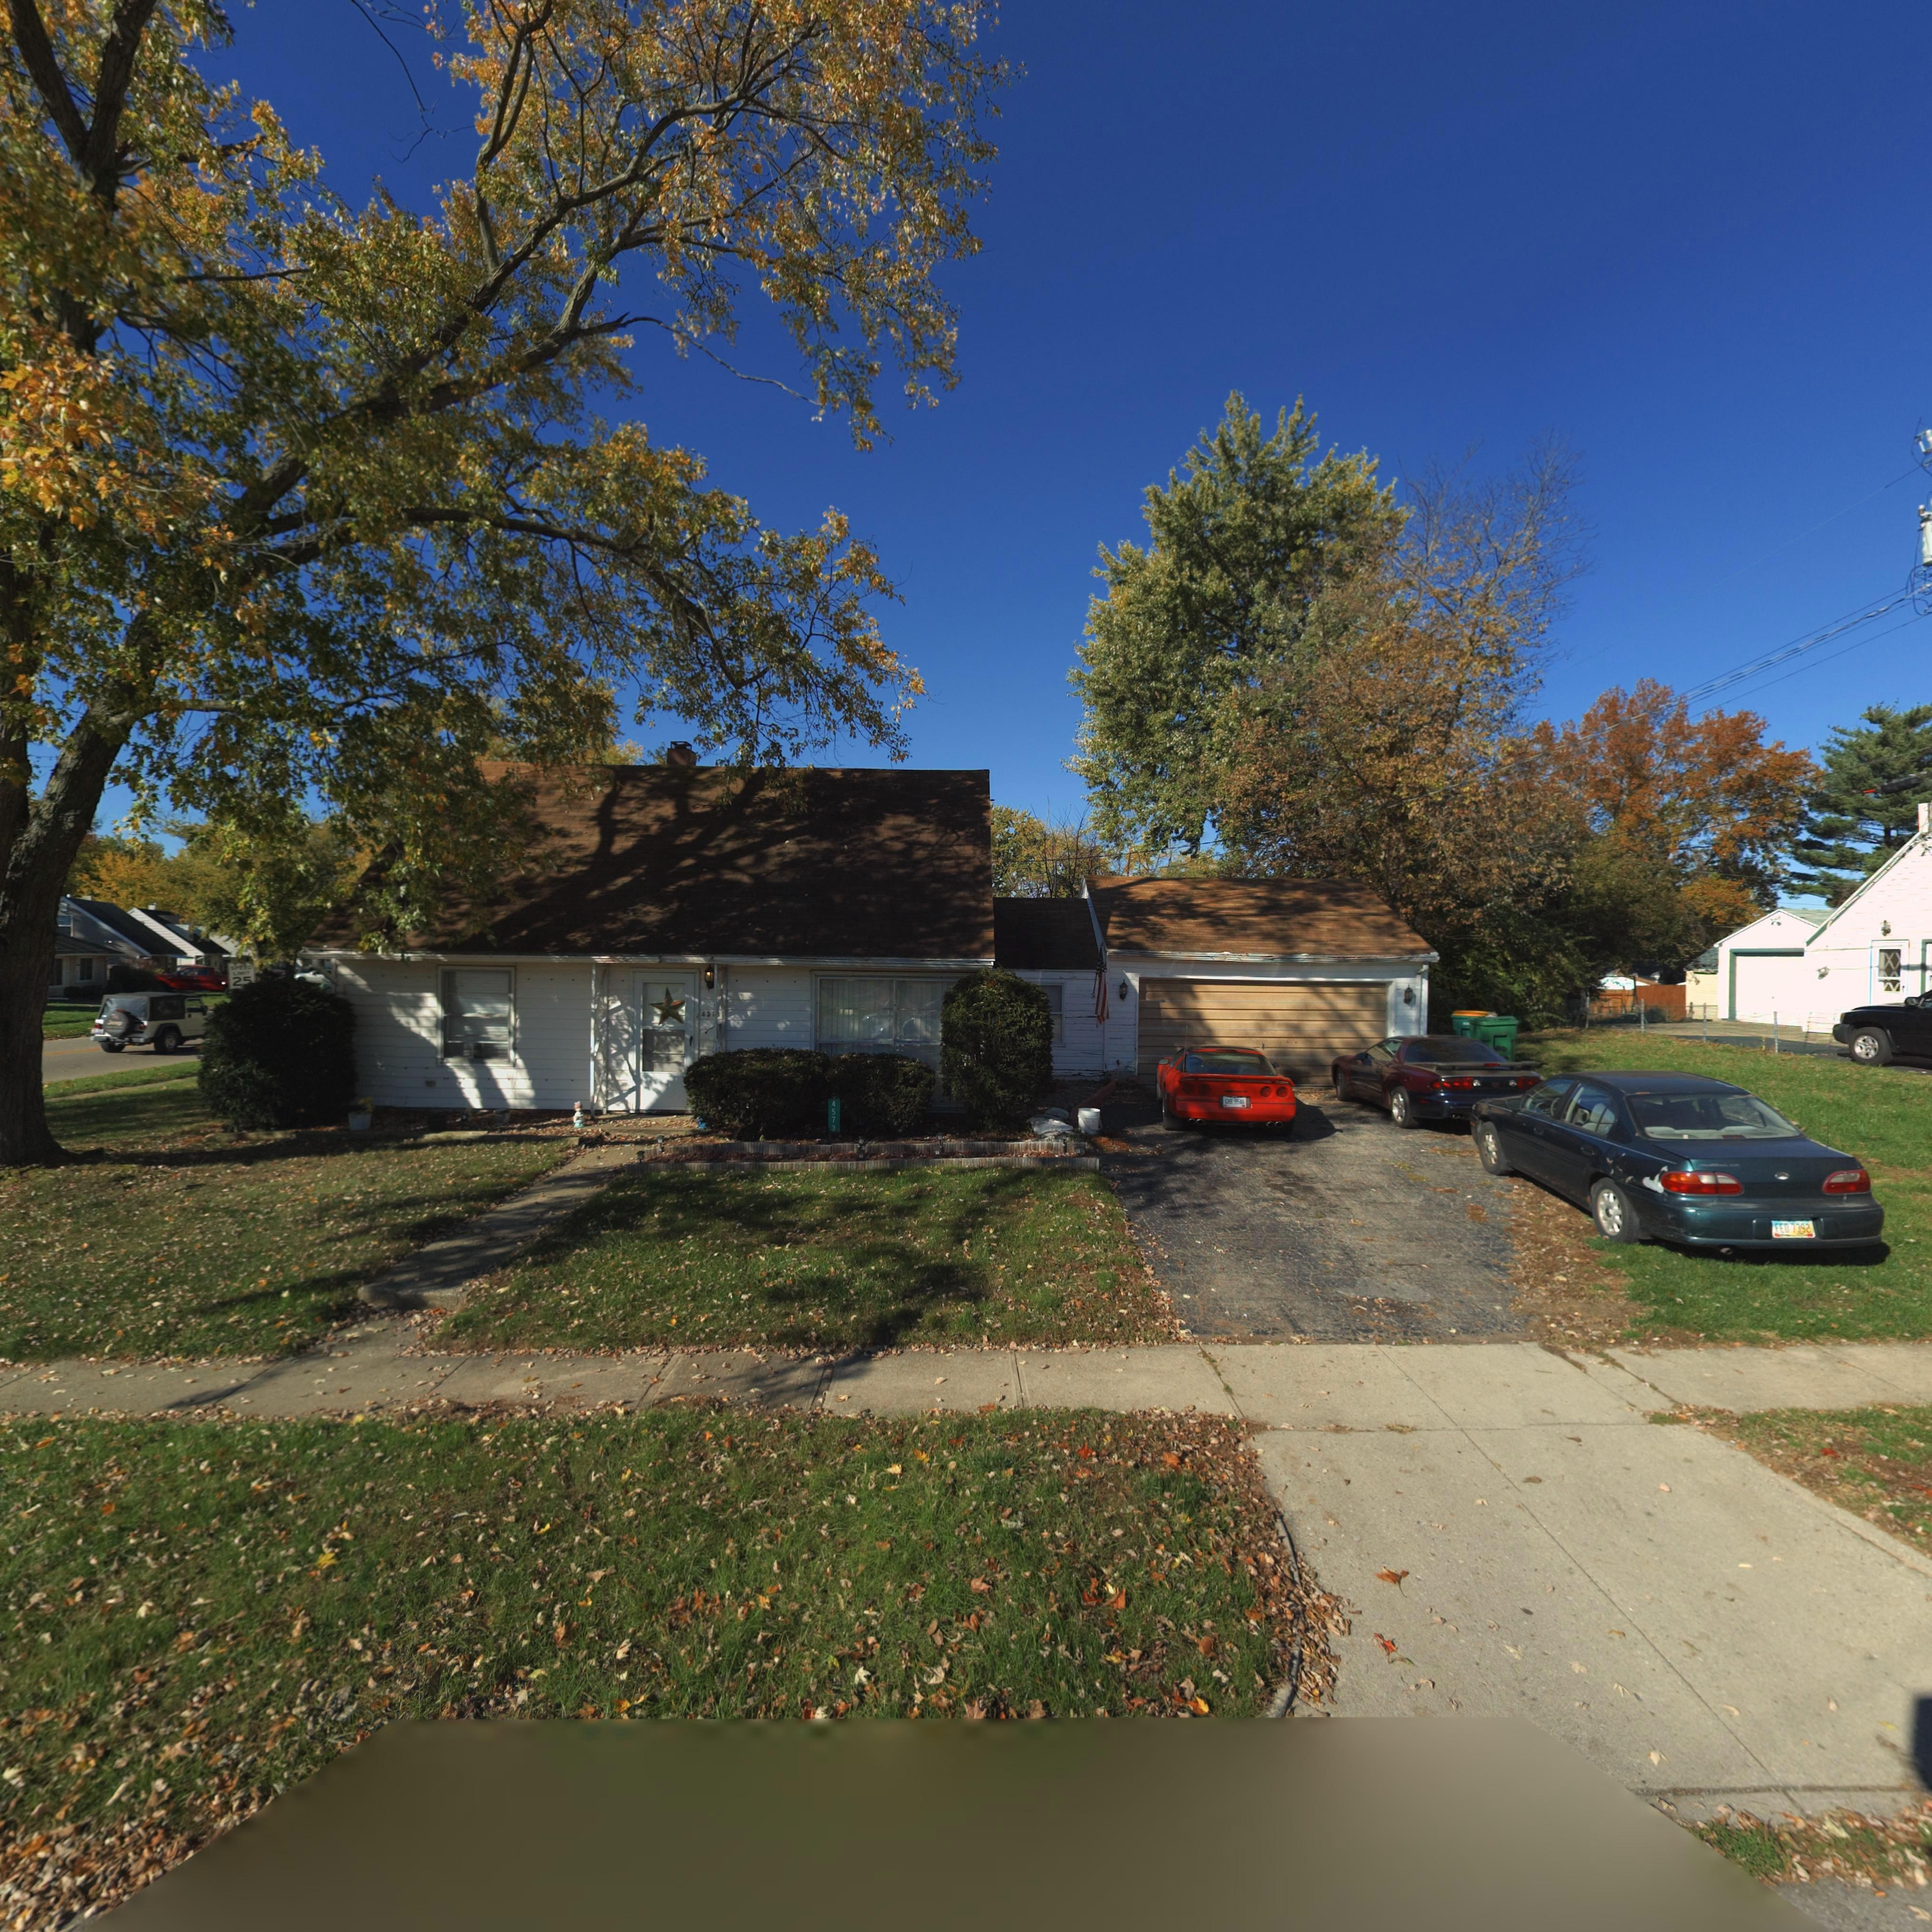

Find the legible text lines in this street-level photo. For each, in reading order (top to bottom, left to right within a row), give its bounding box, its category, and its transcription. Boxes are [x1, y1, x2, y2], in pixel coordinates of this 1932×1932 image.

[701, 1011, 720, 1018] StreetNumber: 45**
[831, 1101, 836, 1132] StreetNumber: 4573